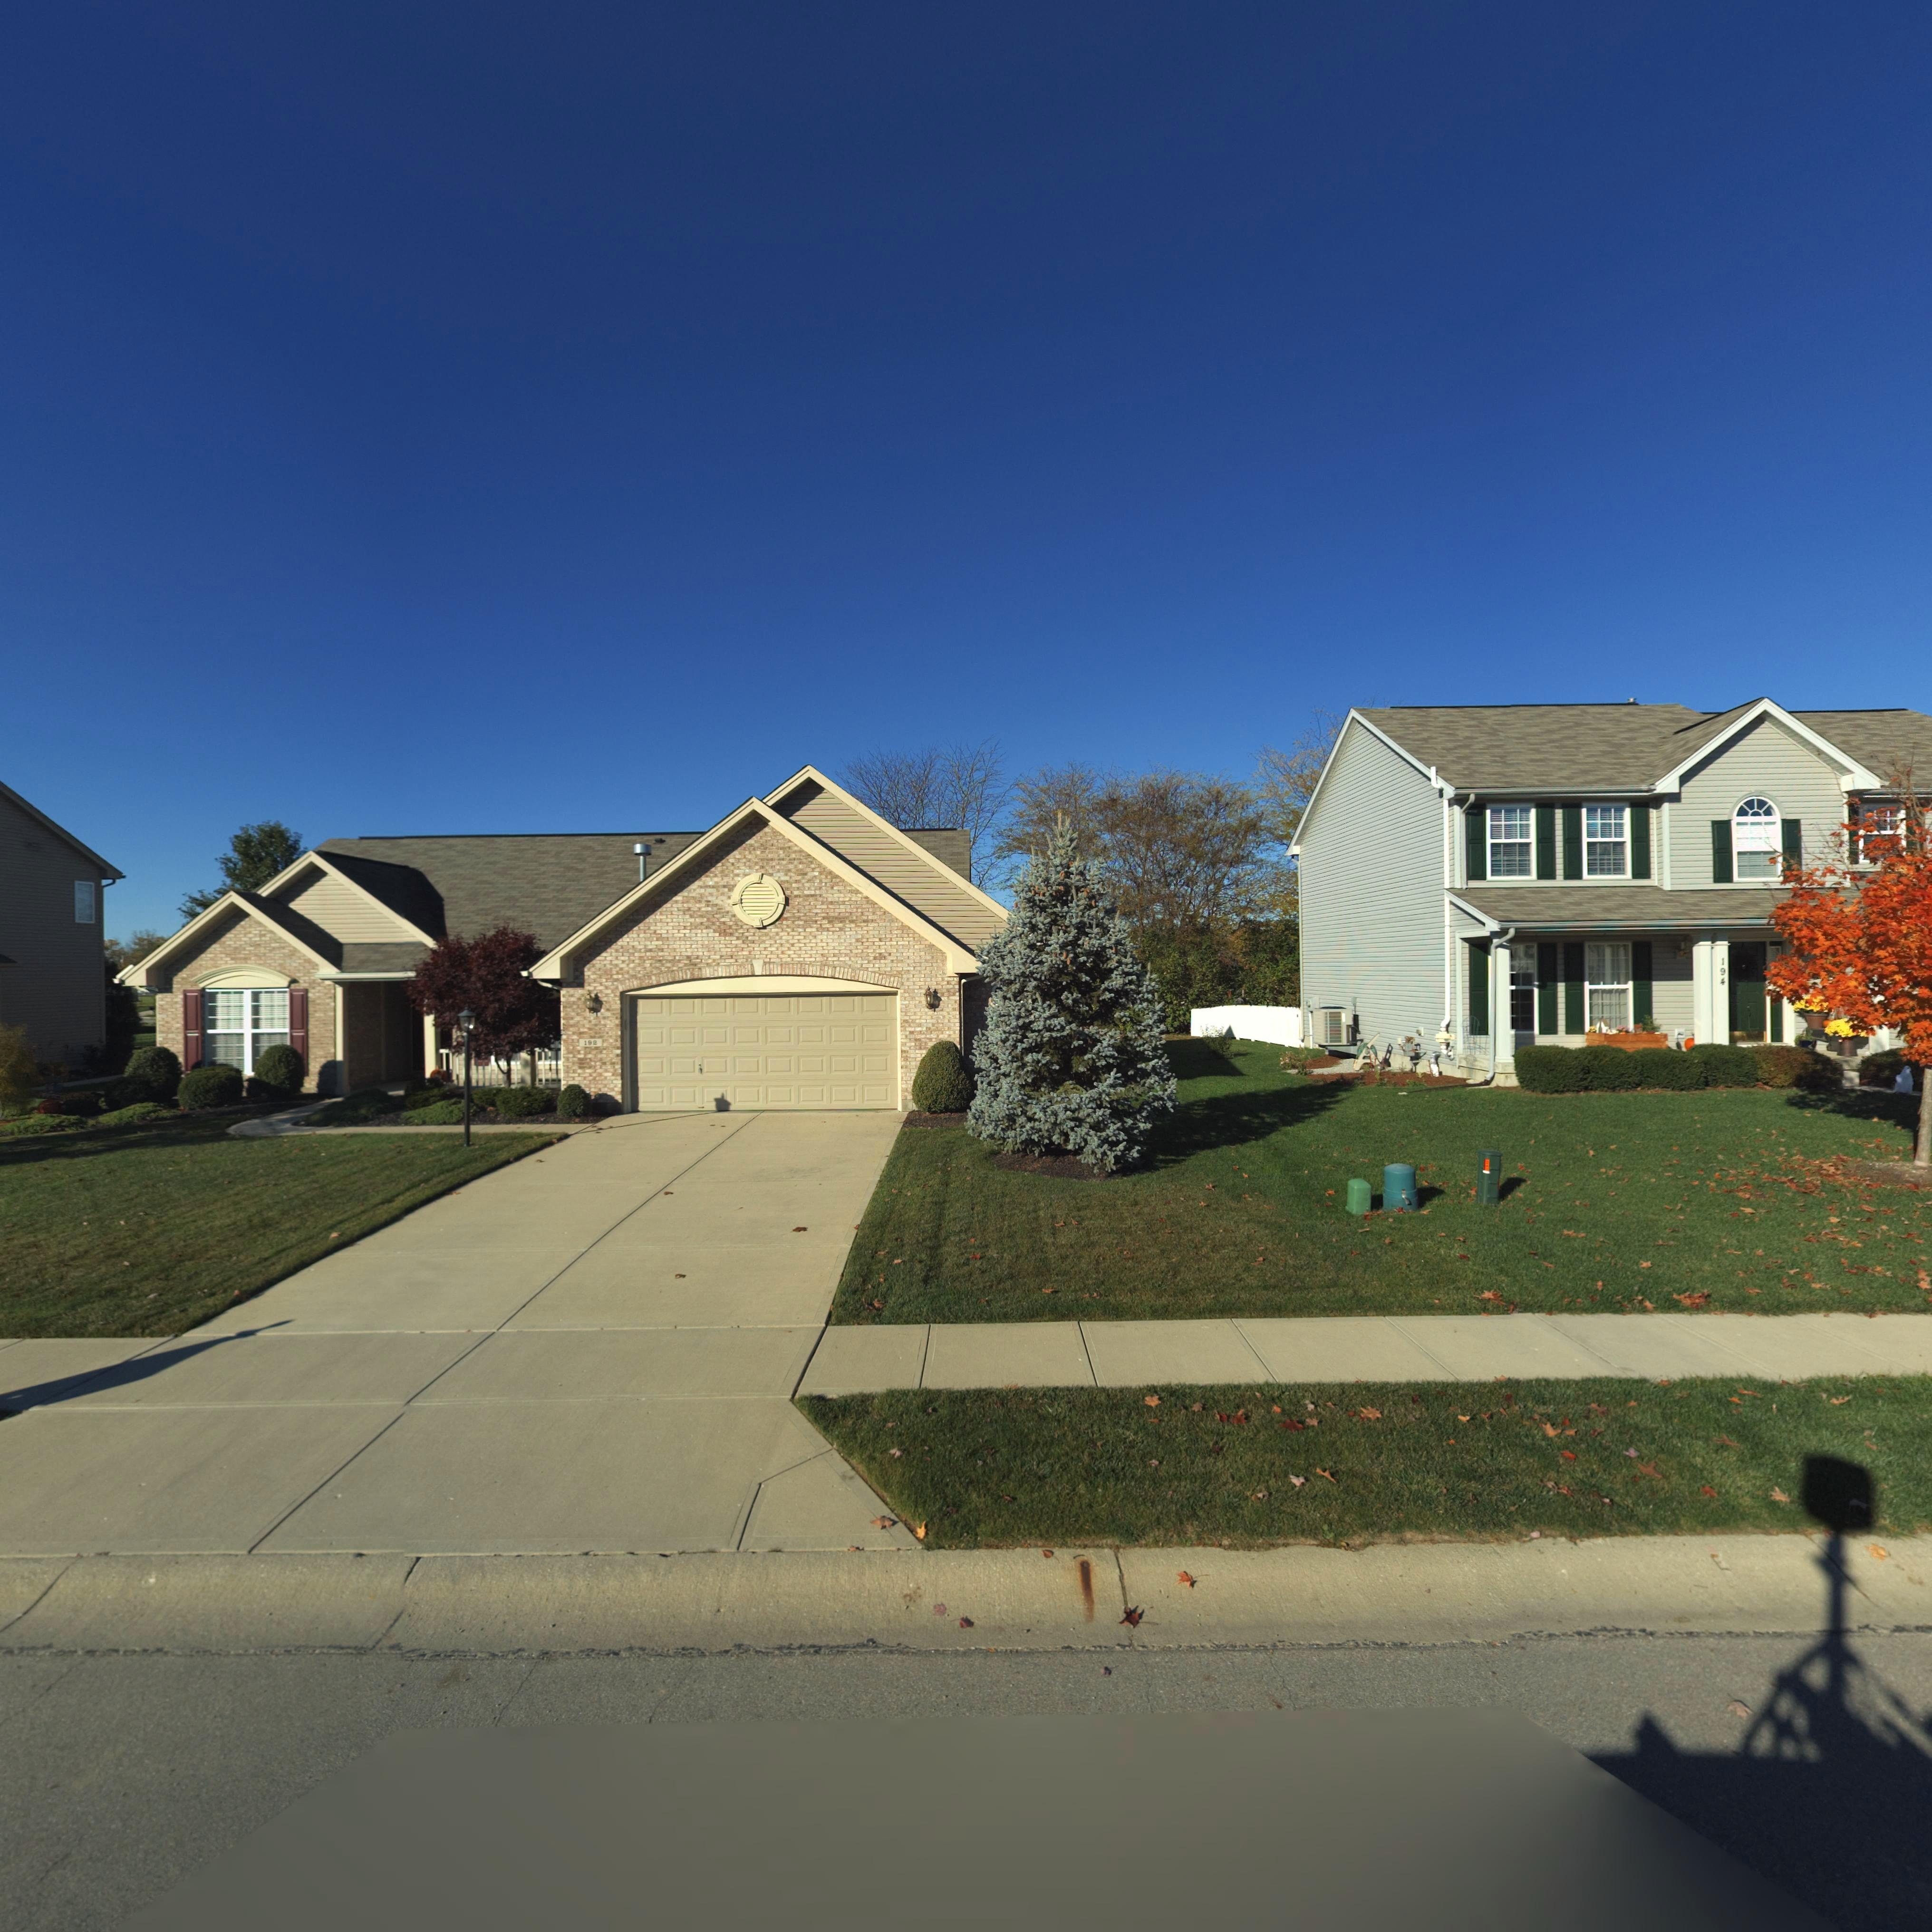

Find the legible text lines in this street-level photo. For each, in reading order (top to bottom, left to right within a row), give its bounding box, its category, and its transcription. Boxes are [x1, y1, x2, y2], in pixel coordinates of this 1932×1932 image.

[1719, 956, 1727, 986] StreetNumber: 194
[583, 1039, 598, 1046] StreetNumber: 192